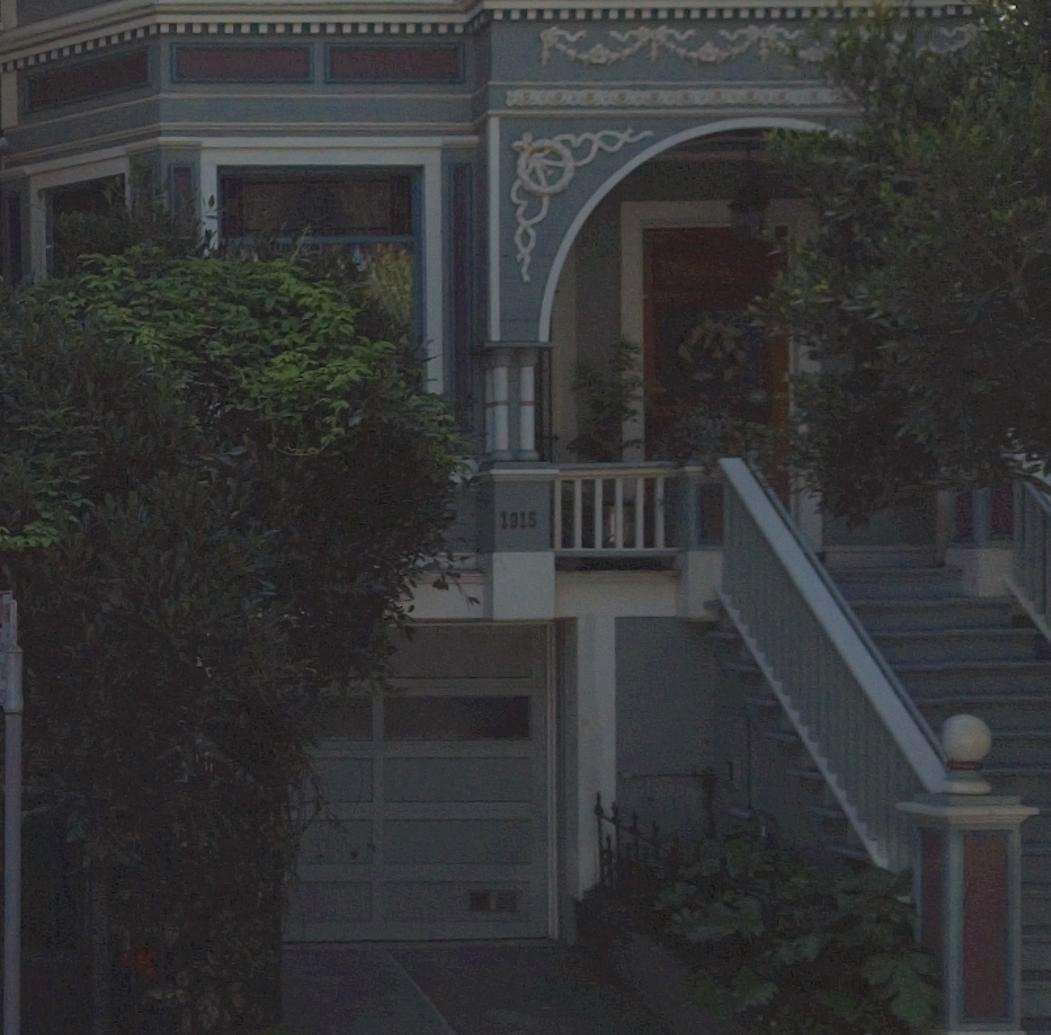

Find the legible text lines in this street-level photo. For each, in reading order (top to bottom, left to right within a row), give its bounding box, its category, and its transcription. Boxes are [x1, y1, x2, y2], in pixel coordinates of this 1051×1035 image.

[499, 508, 538, 533] StreetNumber: 1815